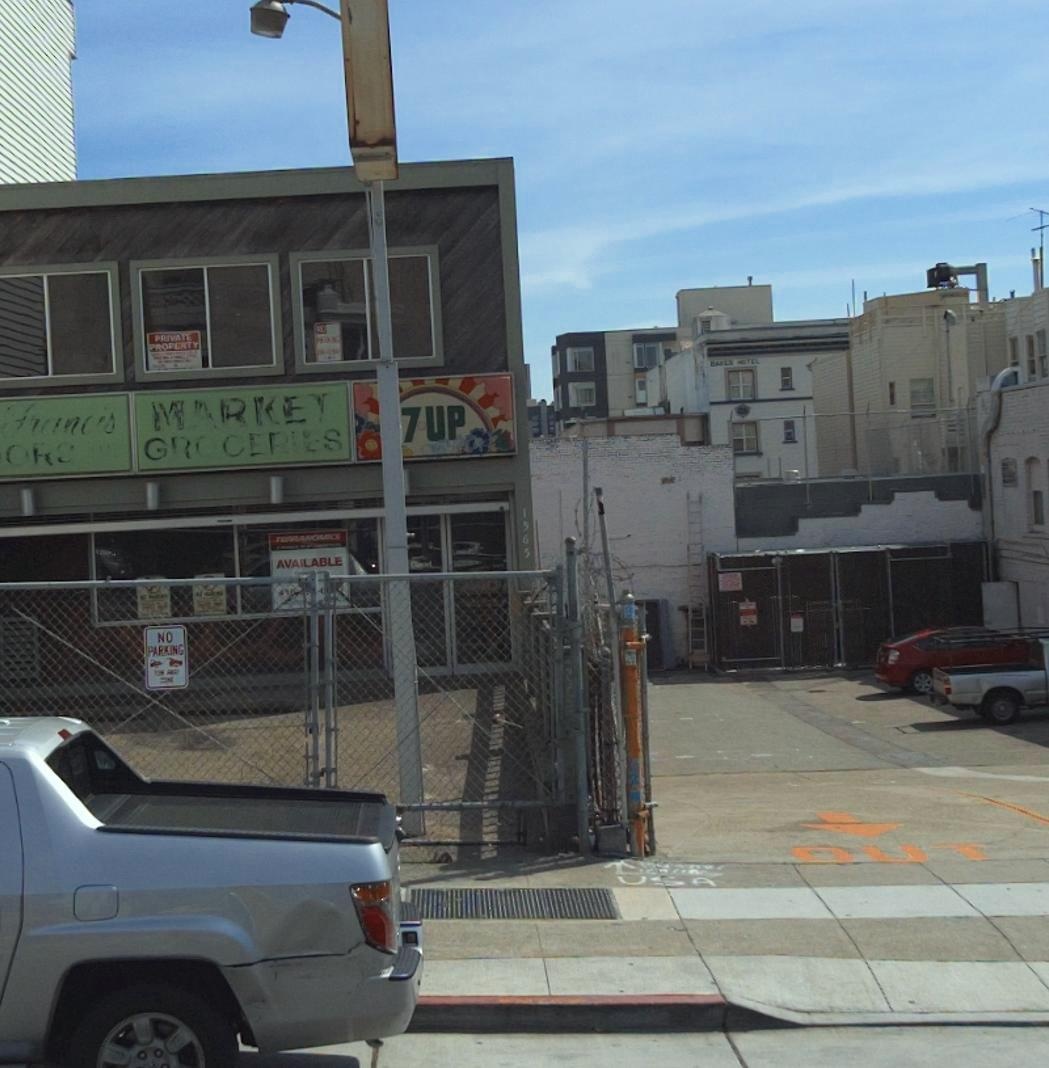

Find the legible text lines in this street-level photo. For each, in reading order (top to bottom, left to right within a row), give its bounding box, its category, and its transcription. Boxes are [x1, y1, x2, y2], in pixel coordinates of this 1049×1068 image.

[320, 323, 327, 333] None: O
[154, 332, 193, 343] None: PRIVATE
[149, 340, 200, 352] None: PROPERTY
[710, 357, 760, 368] BusinessName: B**LN HOTEL
[281, 394, 309, 425] BusinessName: E
[399, 403, 468, 444] None: 7*UP
[144, 435, 169, 462] None: G
[288, 534, 319, 543] None: RA*O
[522, 507, 532, 559] StreetNumber: 1565
[275, 555, 344, 571] None: AVAILABLE
[156, 631, 174, 644] None: NO
[146, 644, 185, 658] None: PARKING
[787, 842, 989, 867] None: OUT
[615, 874, 719, 887] None: U*A